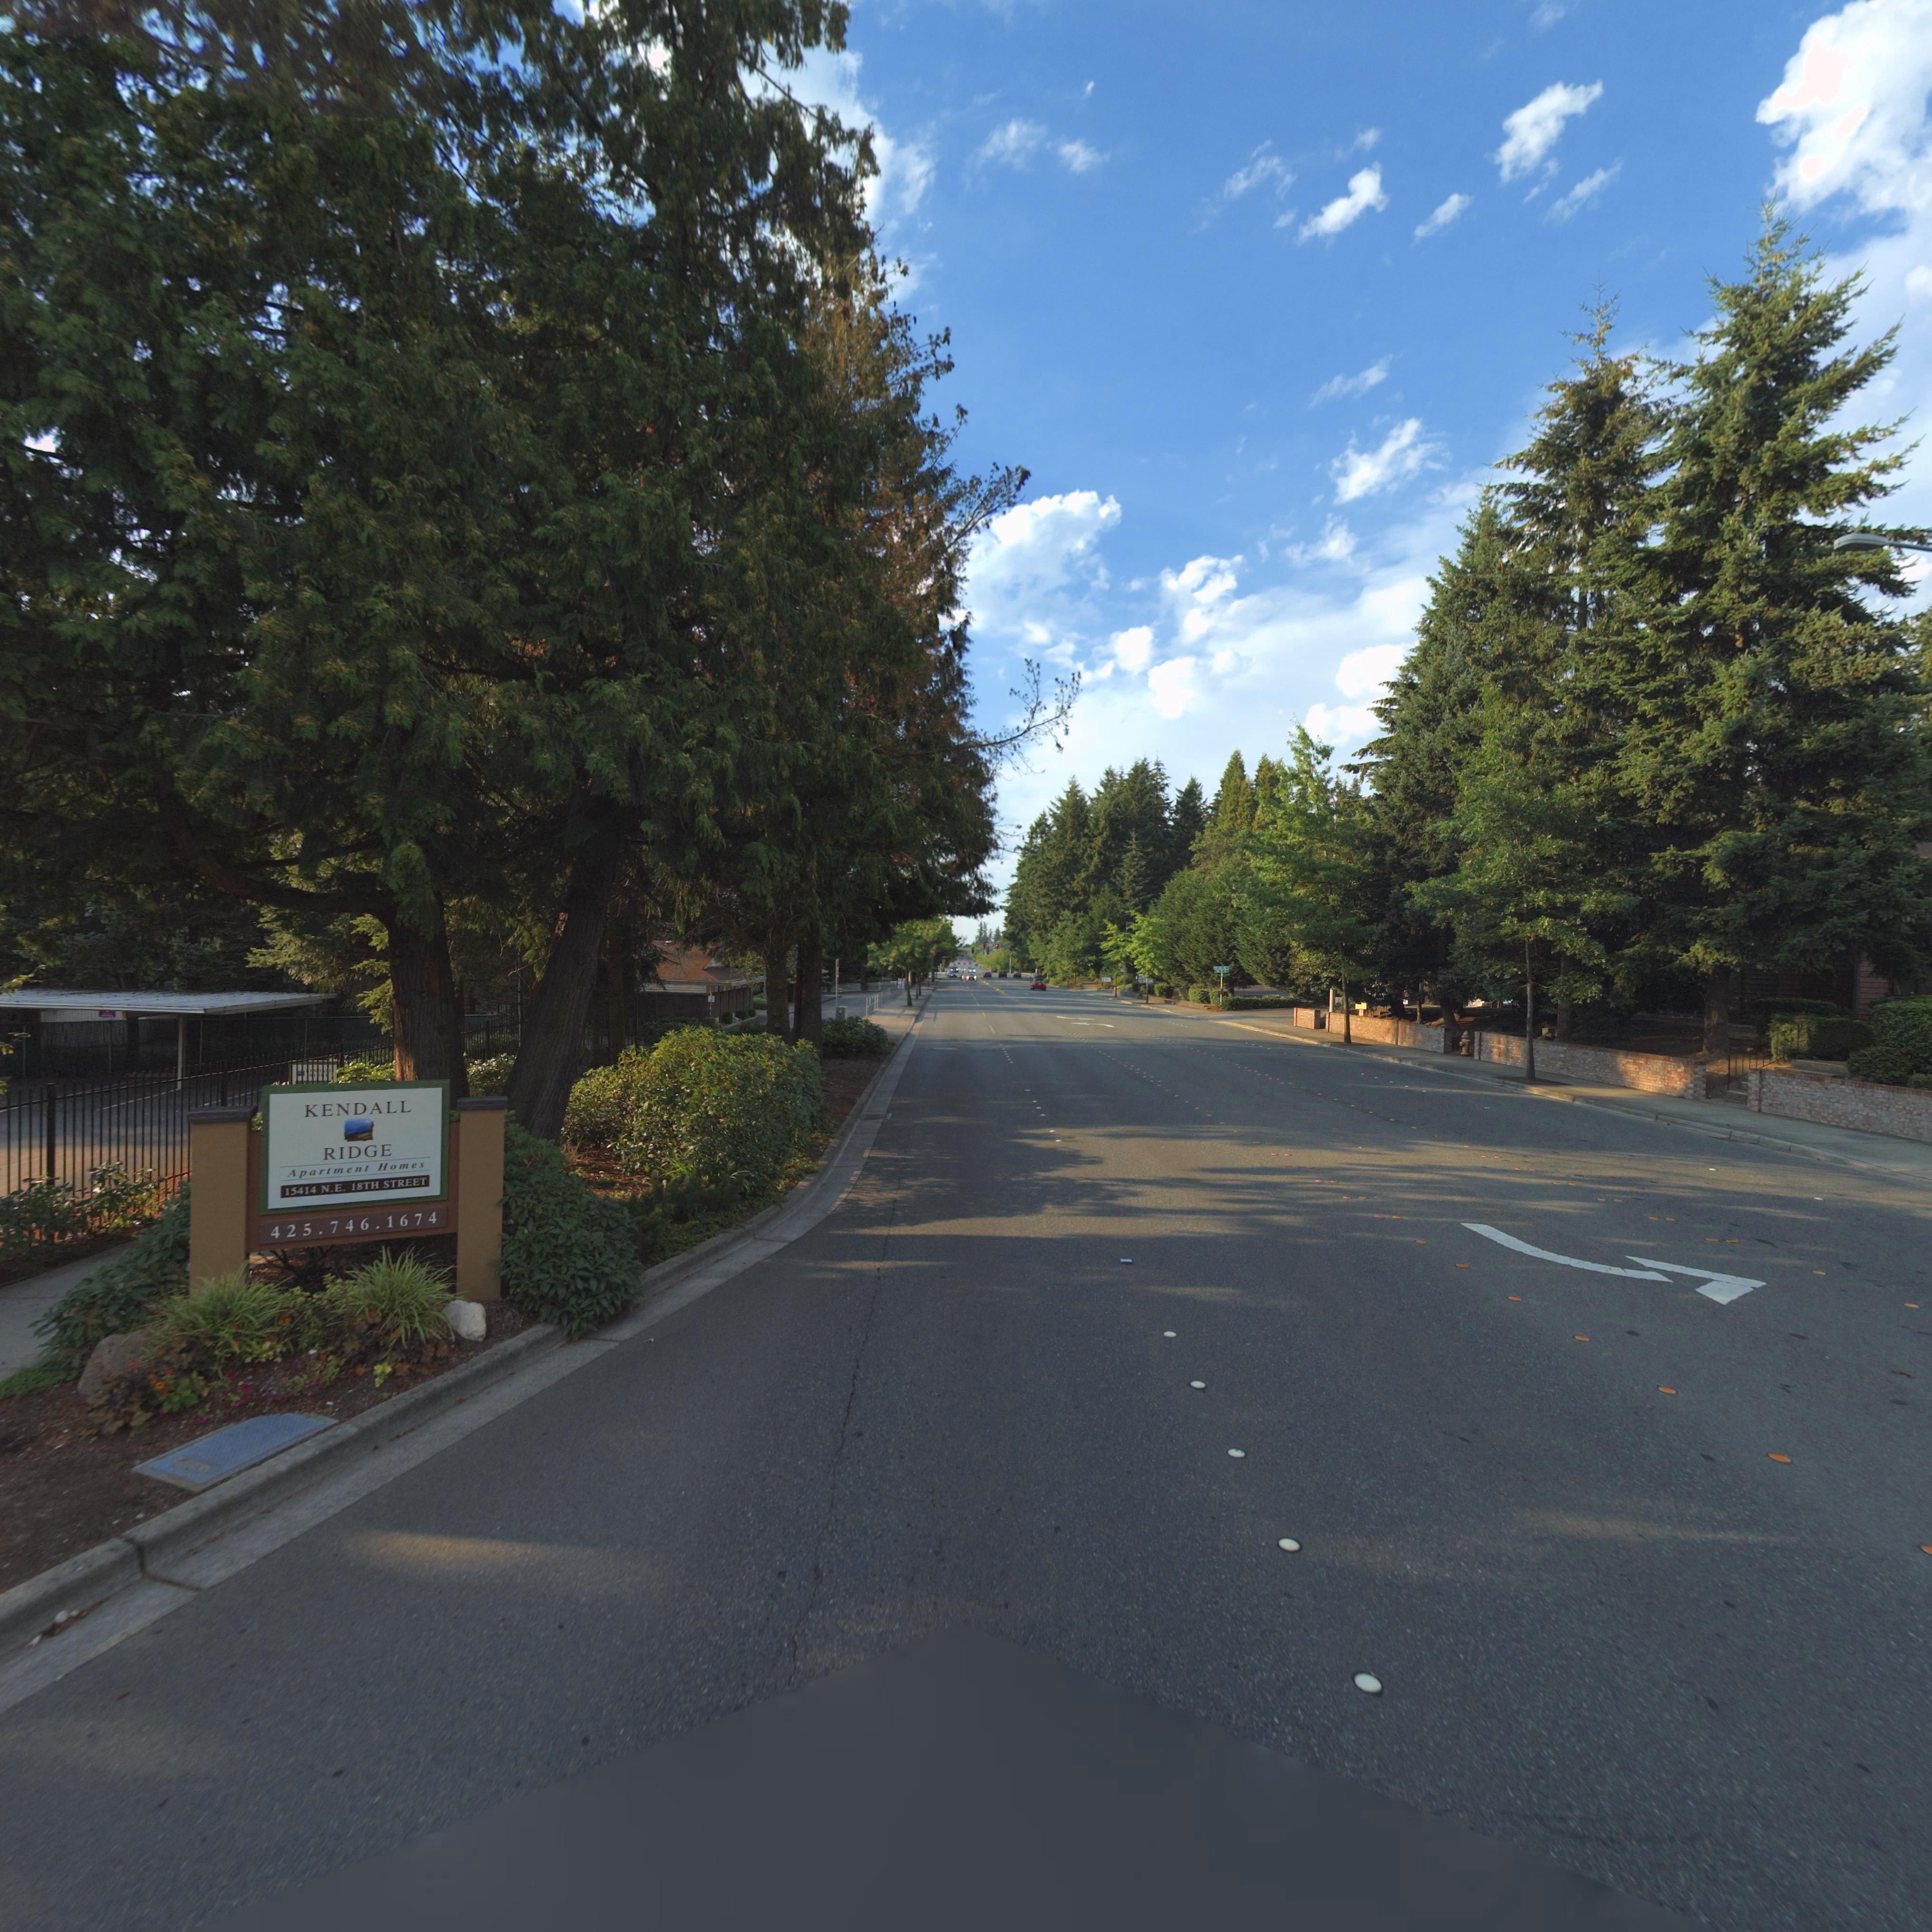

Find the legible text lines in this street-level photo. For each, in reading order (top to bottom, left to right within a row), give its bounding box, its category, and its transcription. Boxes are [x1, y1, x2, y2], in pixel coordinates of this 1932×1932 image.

[303, 1099, 413, 1119] BusinessName: KENDALL
[322, 1142, 393, 1161] BusinessName: RIDGE
[282, 1183, 319, 1196] StreetNumber: 15414
[319, 1176, 429, 1193] StreetName: N.E. 18TH STREET